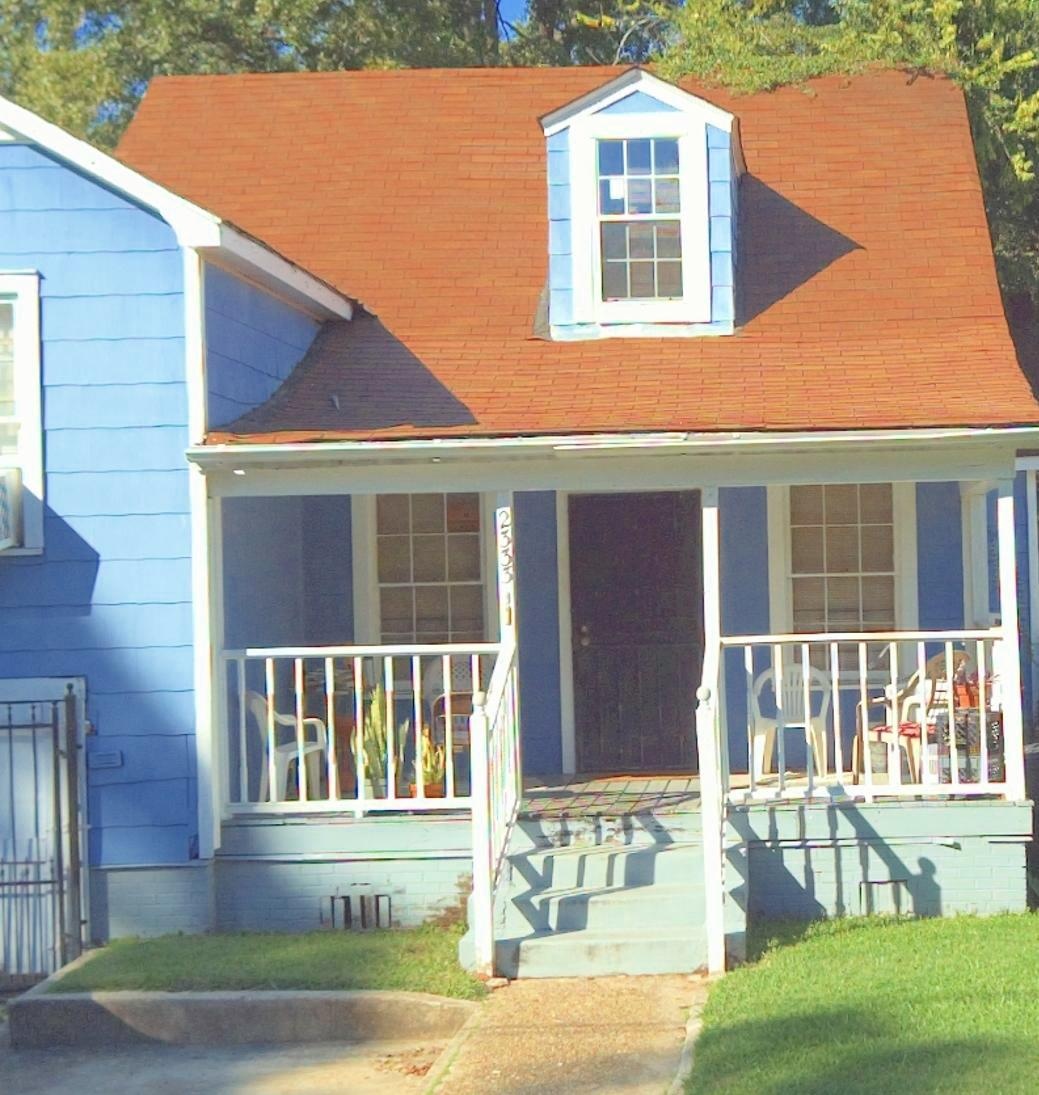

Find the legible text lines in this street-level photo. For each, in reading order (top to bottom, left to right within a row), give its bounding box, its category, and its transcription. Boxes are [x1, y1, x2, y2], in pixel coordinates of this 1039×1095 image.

[496, 508, 516, 587] StreetNumber: 2333